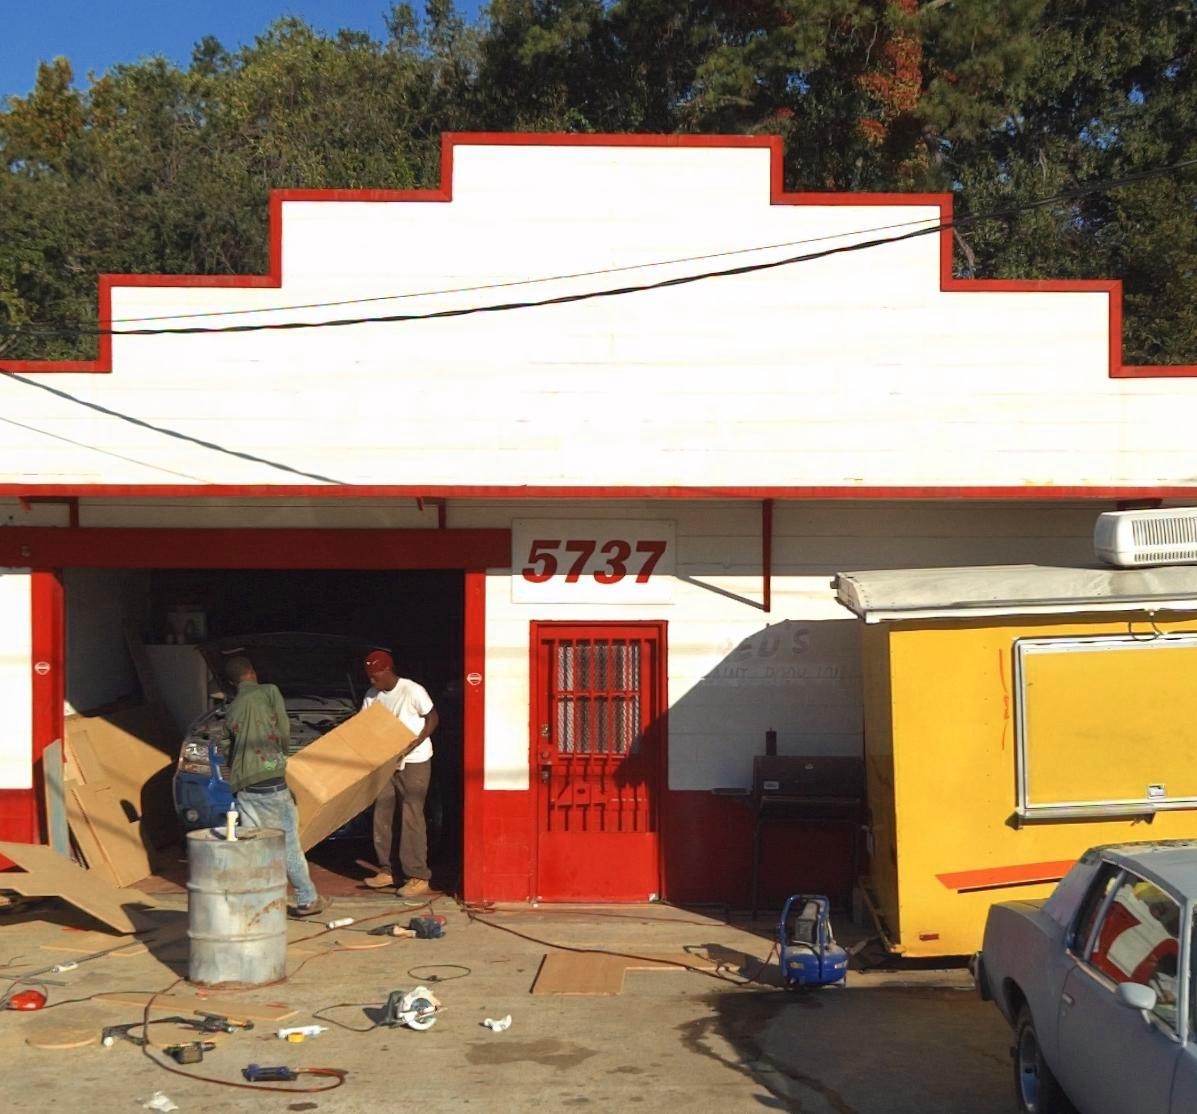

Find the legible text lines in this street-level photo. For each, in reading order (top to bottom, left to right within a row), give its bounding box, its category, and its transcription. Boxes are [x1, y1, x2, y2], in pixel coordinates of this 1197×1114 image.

[519, 537, 669, 586] StreetNumber: 5737
[789, 626, 812, 656] None: S